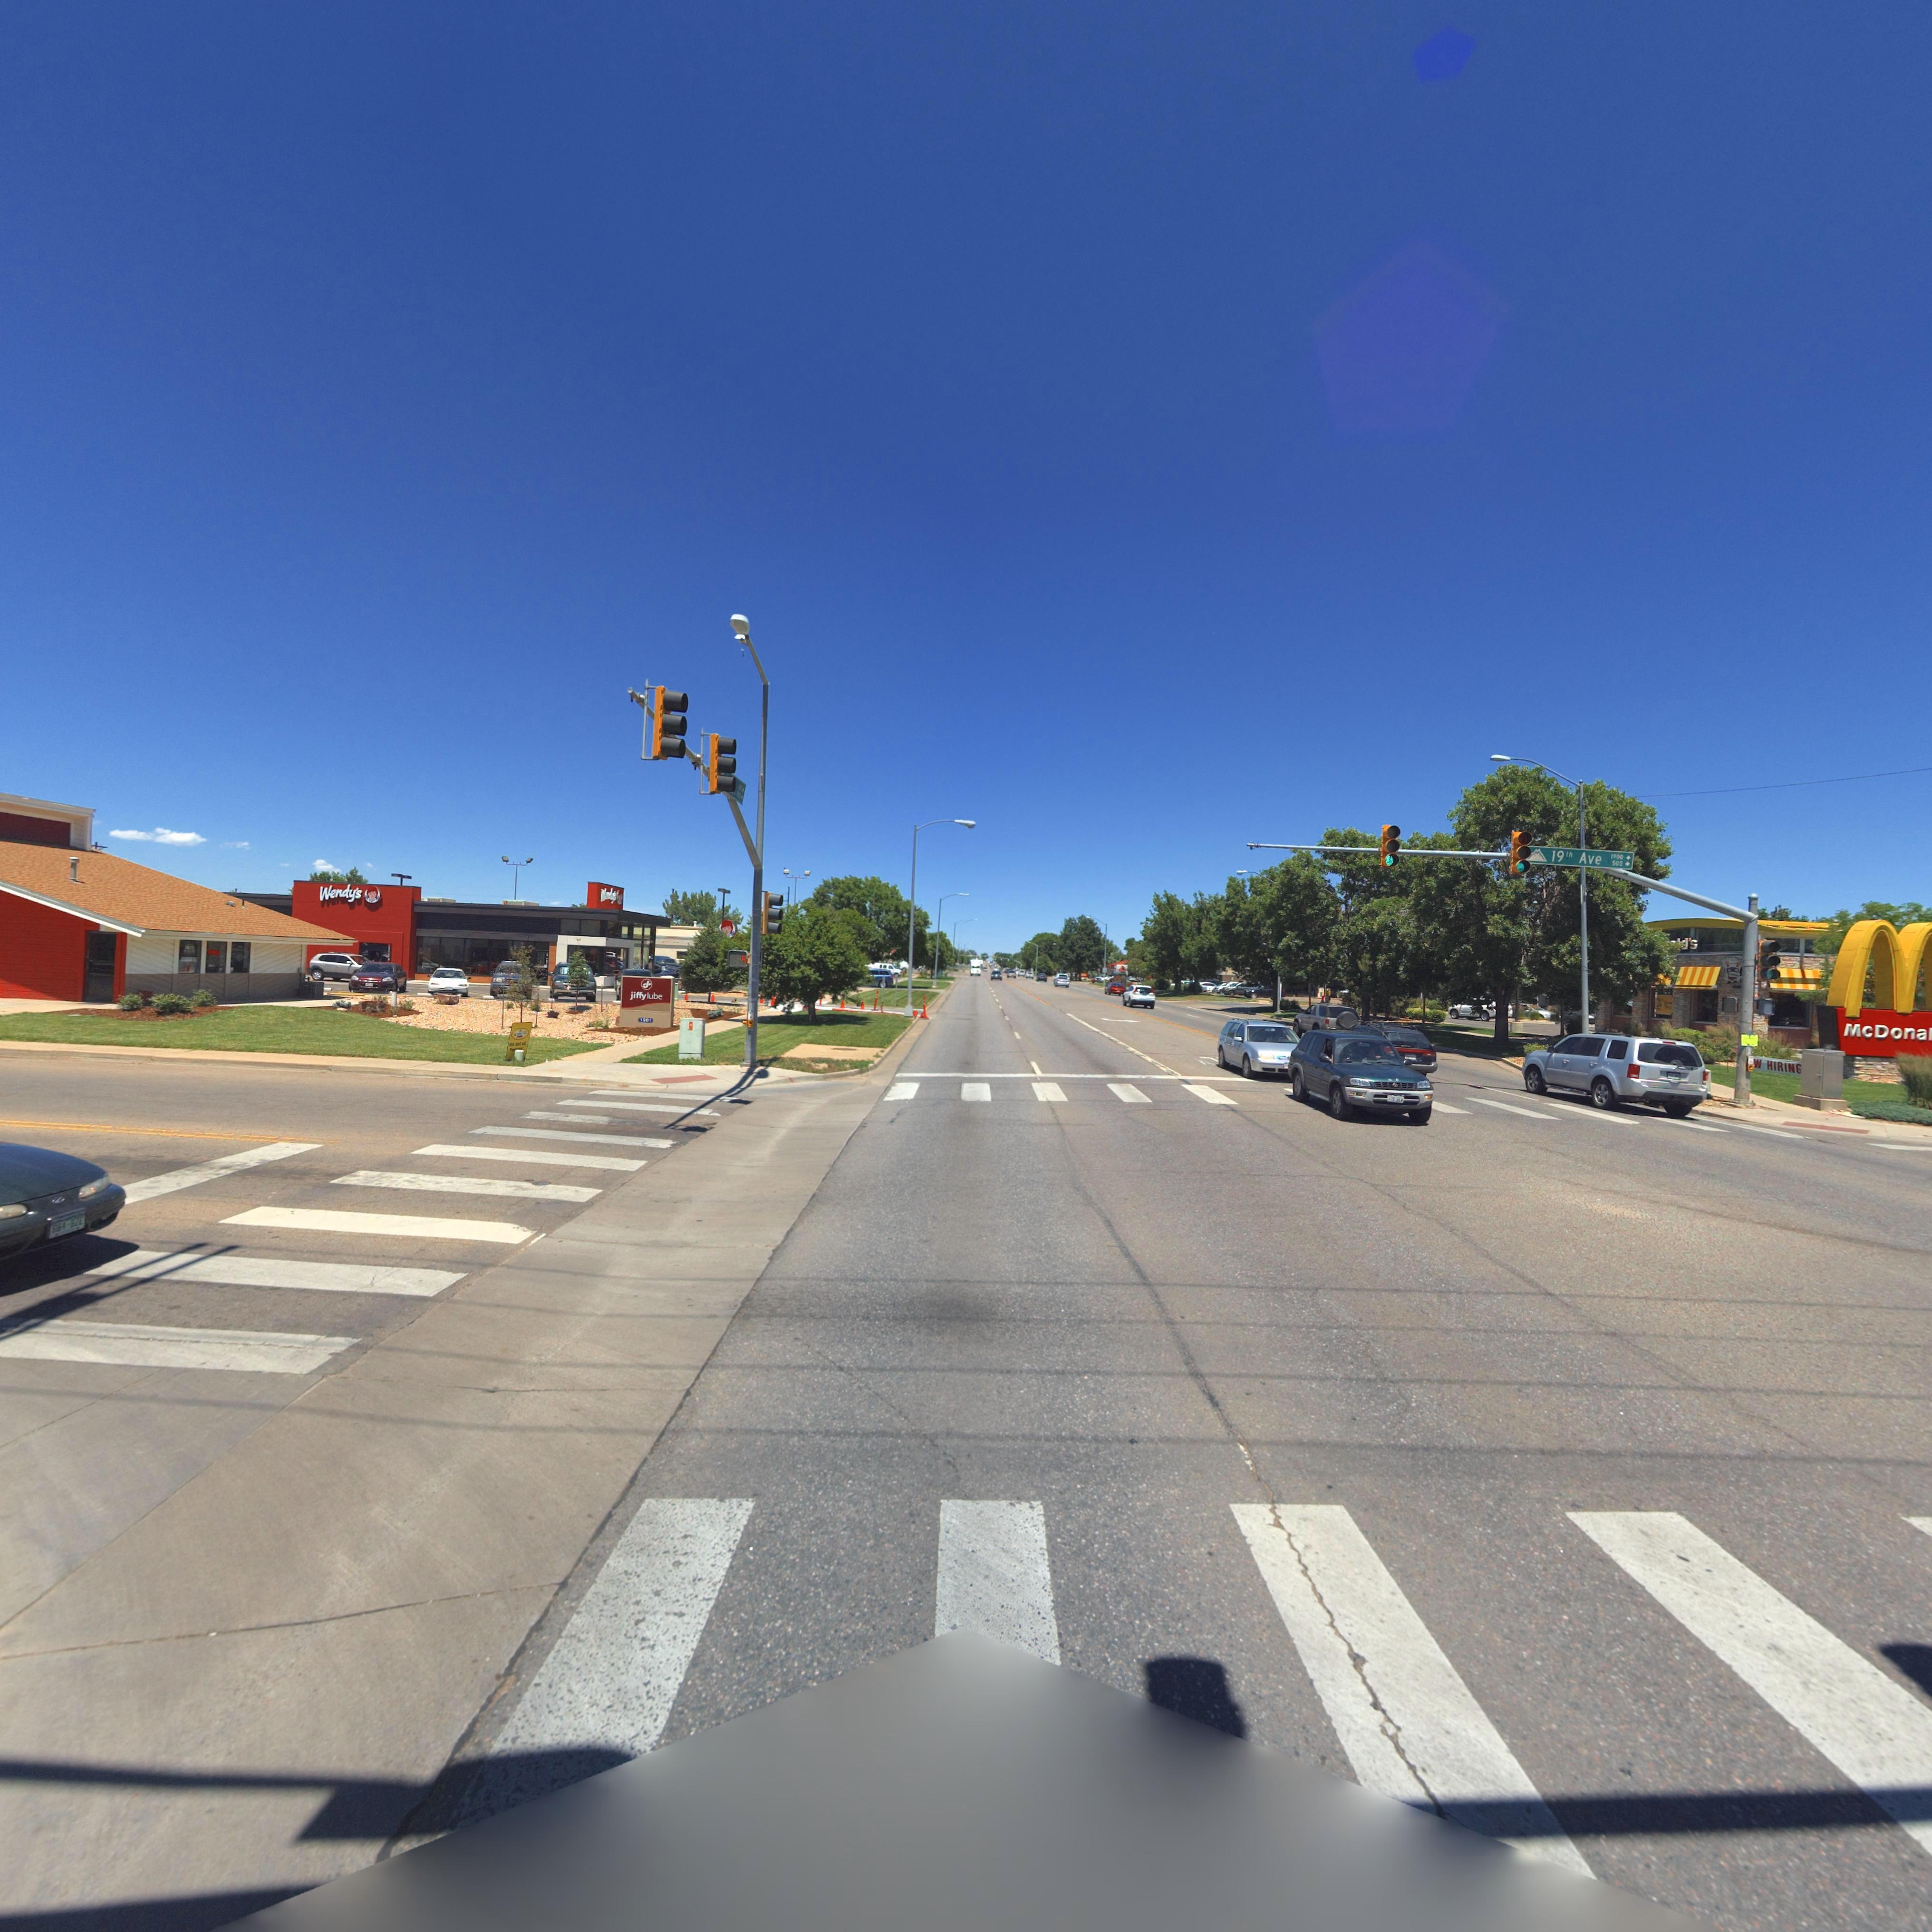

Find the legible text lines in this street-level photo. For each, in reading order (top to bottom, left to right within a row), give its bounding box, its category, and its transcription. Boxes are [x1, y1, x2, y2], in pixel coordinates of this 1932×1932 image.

[1551, 849, 1602, 865] StreetName: 19th Ave
[1610, 853, 1623, 860] StreetNumberRange: 1*00
[1612, 860, 1630, 866] StreetNumberRange: 500 ->
[319, 883, 363, 902] BusinessName: Wendy's
[600, 887, 617, 904] BusinessName: W**dy's
[1665, 937, 1699, 952] BusinessName: **d's
[629, 991, 647, 1001] BusinessName: jiffy
[647, 992, 663, 1000] BusinessName: lube
[639, 1018, 651, 1022] StreetNumber: 1901
[1843, 1023, 1927, 1041] BusinessName: McDona